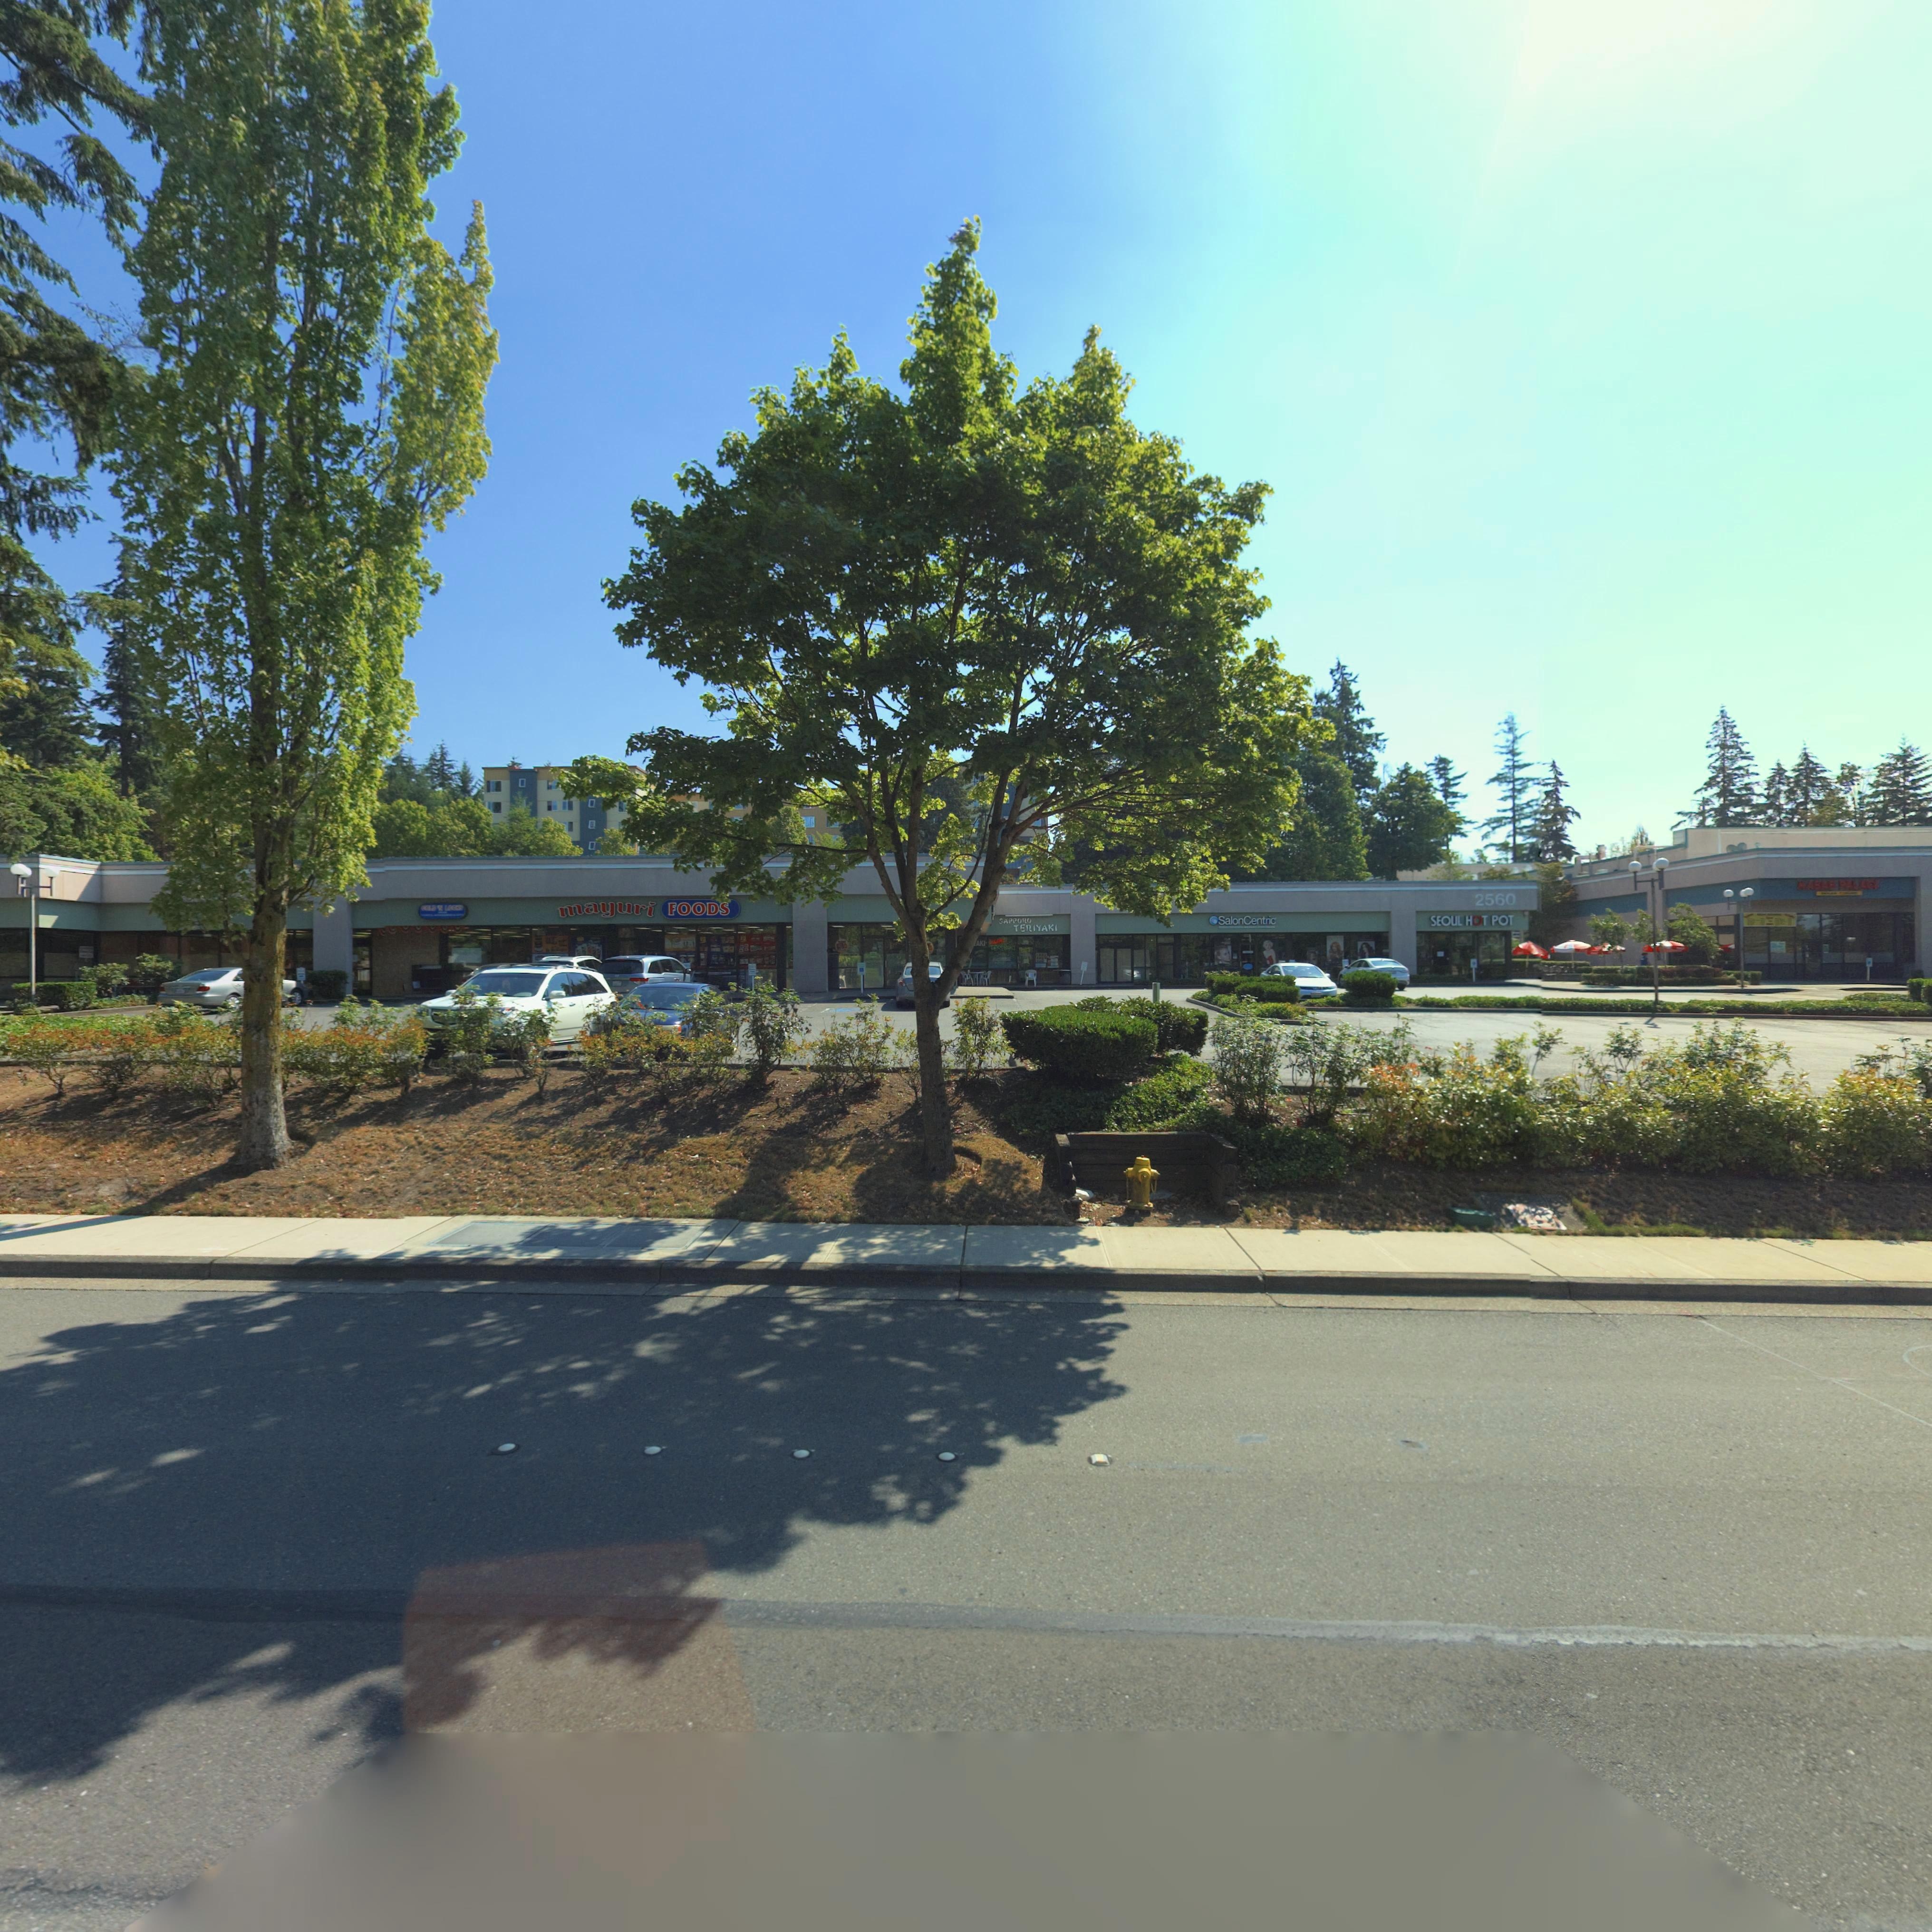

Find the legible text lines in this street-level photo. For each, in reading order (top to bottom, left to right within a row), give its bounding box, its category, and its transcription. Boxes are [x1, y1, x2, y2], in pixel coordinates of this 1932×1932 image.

[1475, 893, 1516, 907] StreetNumber: 2560
[556, 900, 657, 918] BusinessName: mayuri
[667, 901, 730, 916] BusinessName: FOODS
[998, 918, 1031, 924] BusinessName: SAPPORO
[1218, 915, 1276, 925] BusinessName: SalonCentric
[1430, 915, 1514, 926] BusinessName: SEOUL HOT POT
[1013, 924, 1057, 932] BusinessName: TERIYAKI